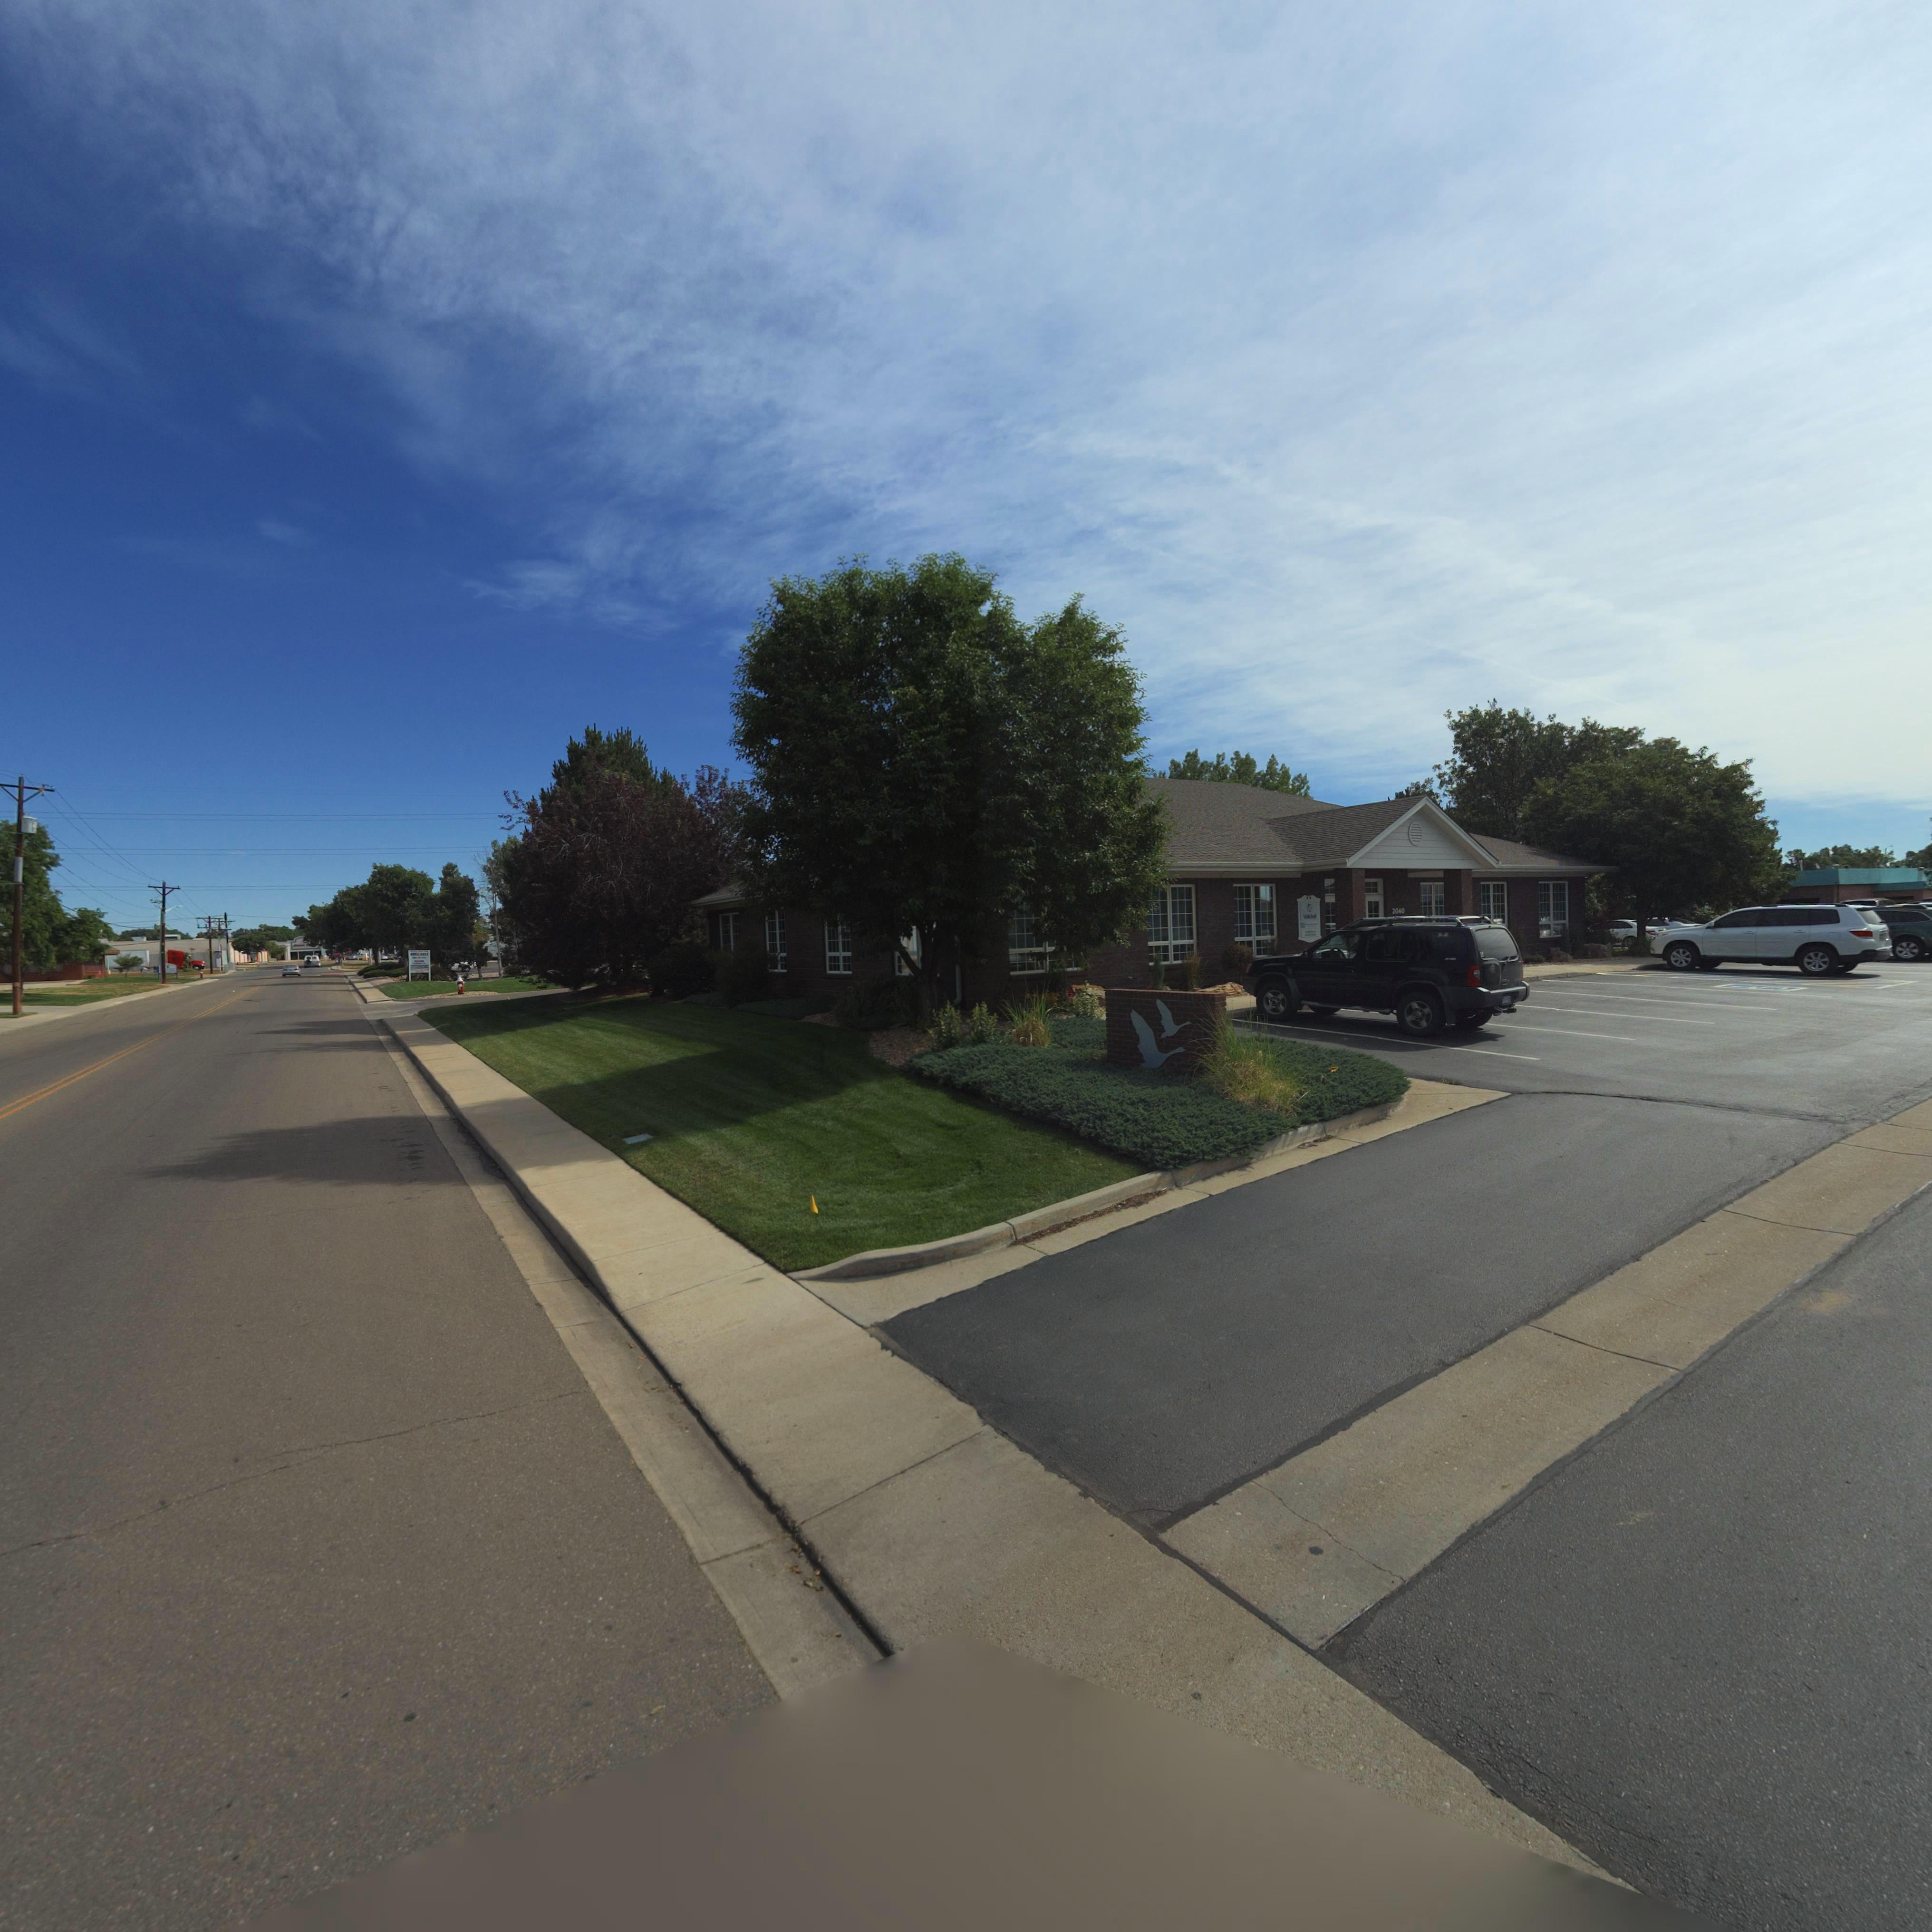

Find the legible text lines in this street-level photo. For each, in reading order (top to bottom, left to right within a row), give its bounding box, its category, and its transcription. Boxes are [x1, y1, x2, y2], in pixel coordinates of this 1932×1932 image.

[1306, 903, 1314, 910] BusinessName: VB
[1391, 908, 1405, 914] StreetNumber: 2040
[1303, 913, 1317, 919] BusinessName: Vo** B***